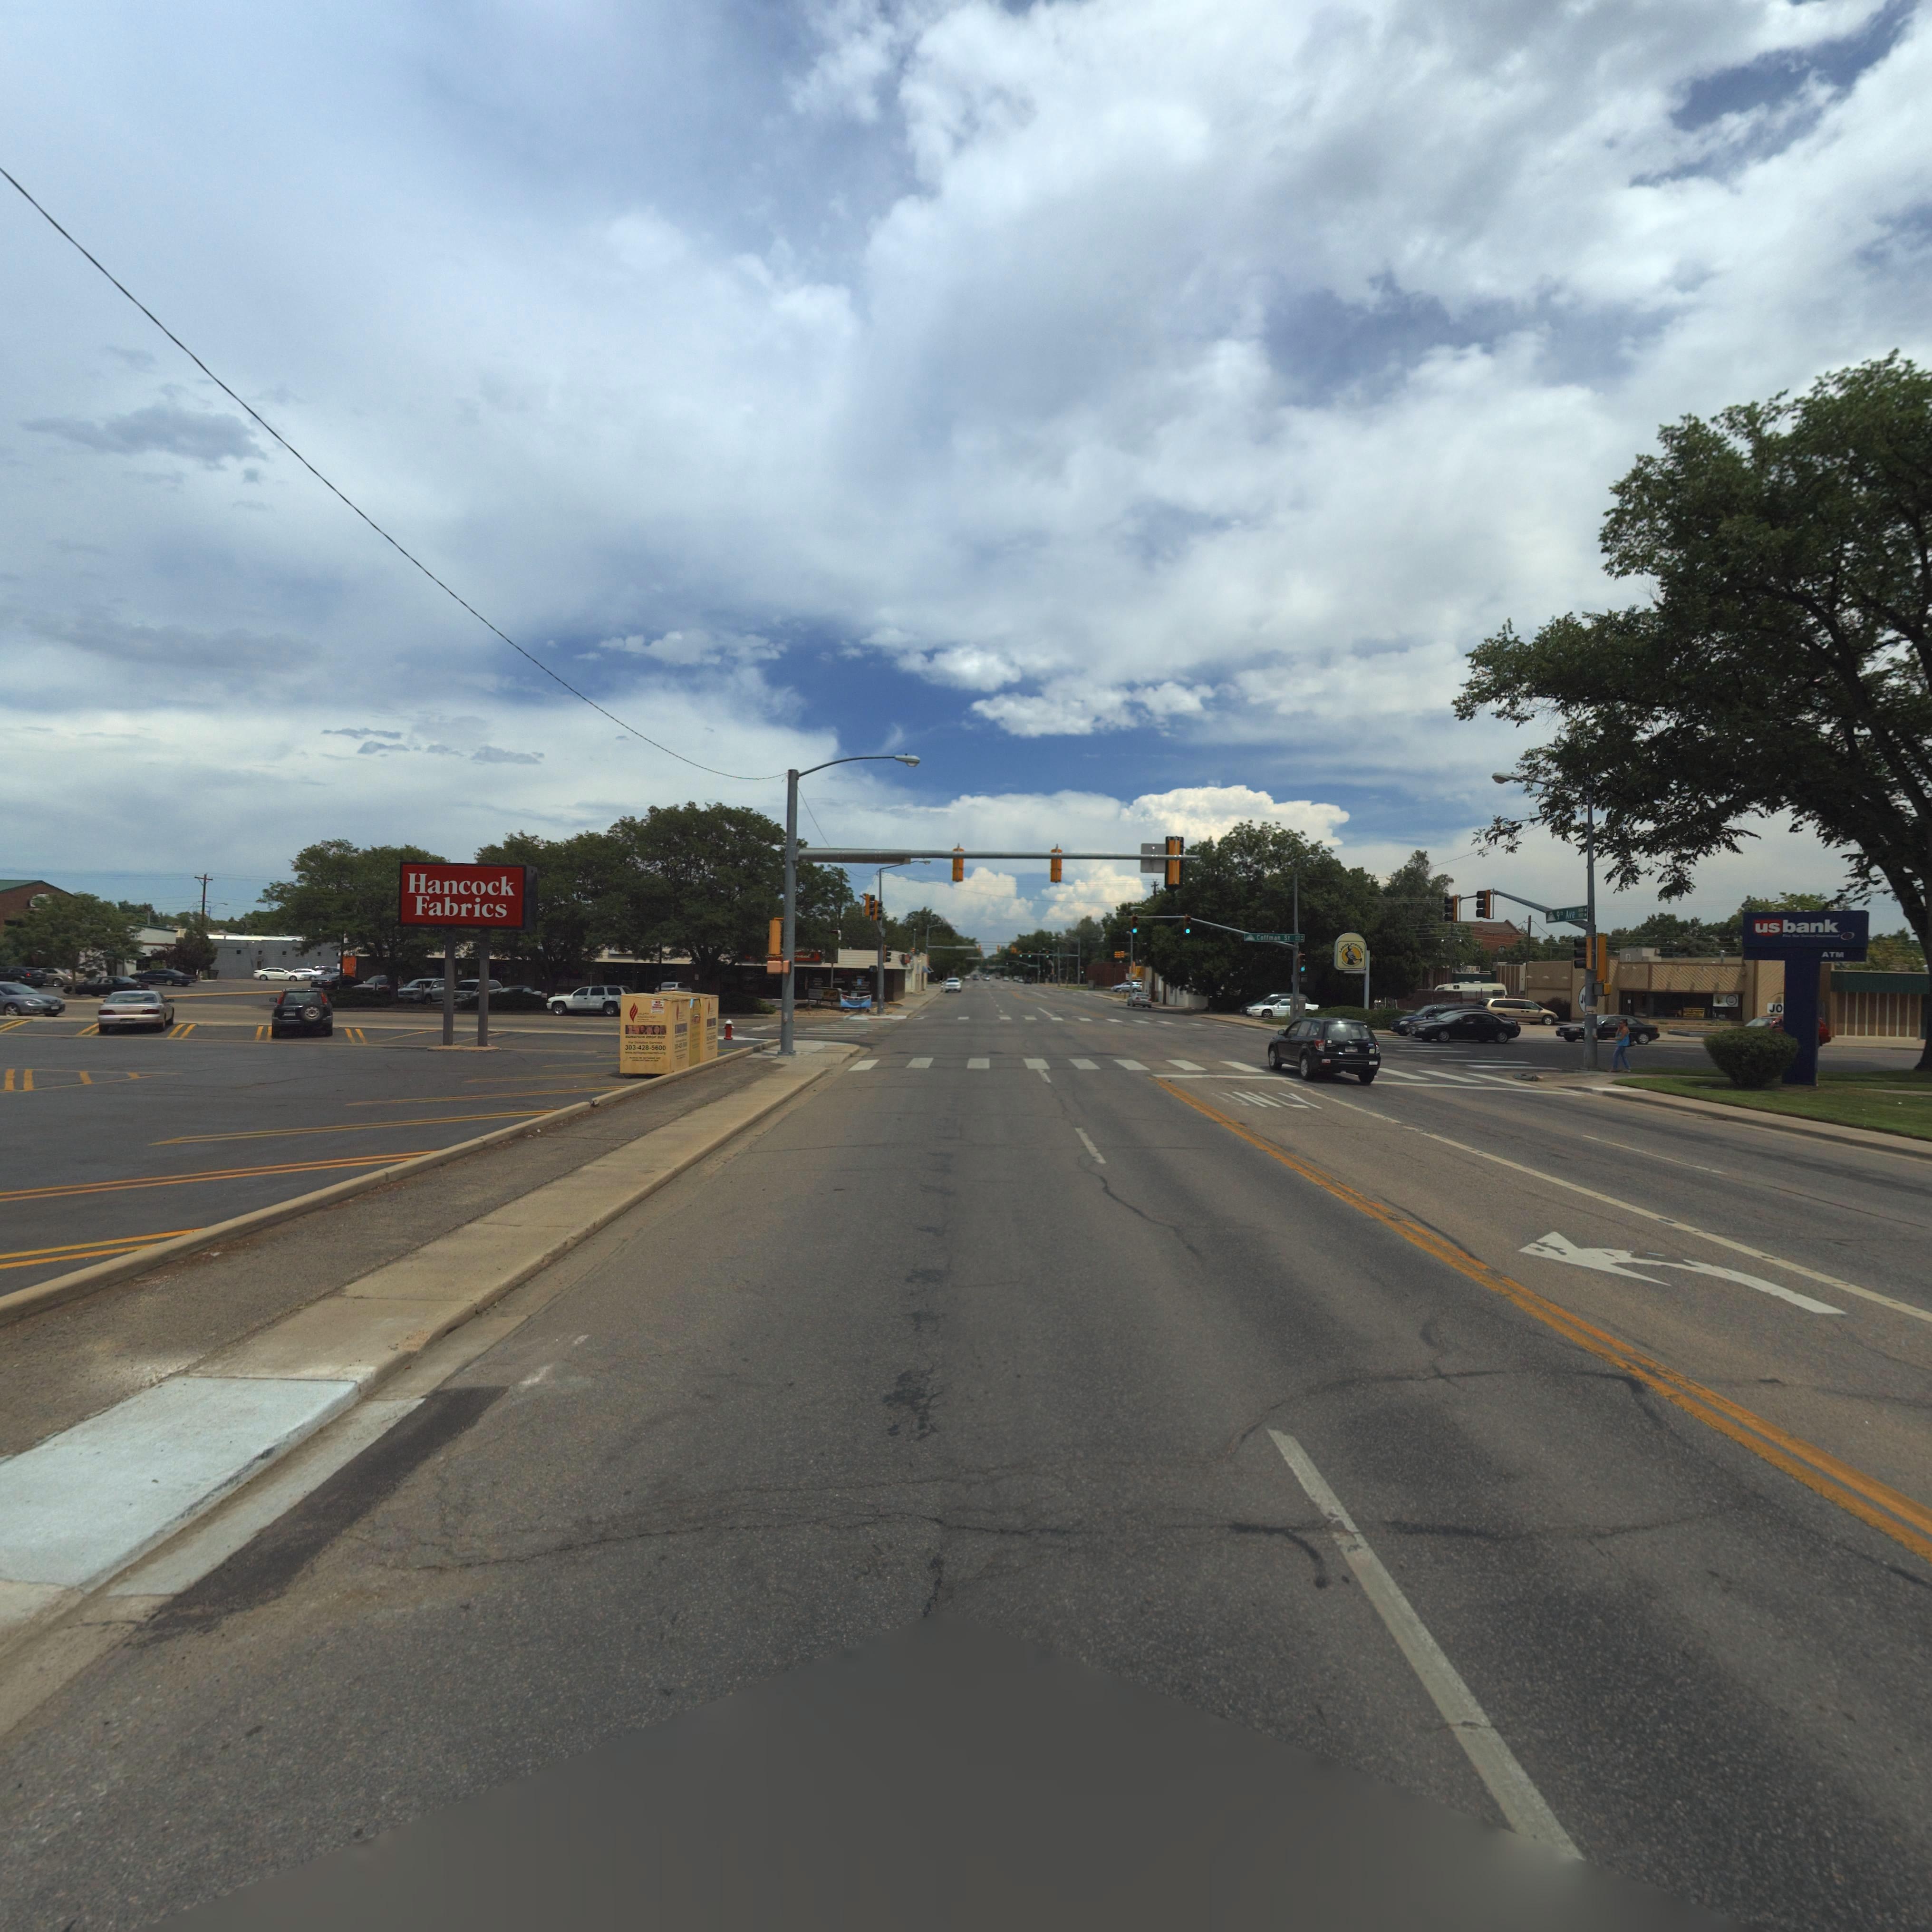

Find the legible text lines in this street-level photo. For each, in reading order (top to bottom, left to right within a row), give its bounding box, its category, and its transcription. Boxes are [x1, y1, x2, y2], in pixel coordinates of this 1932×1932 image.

[406, 872, 515, 897] BusinessName: Hancock
[414, 894, 507, 918] BusinessName: Fabrics
[1556, 909, 1575, 920] StreetName: 9** Ave
[1754, 919, 1839, 933] BusinessName: usbank
[1256, 934, 1291, 941] BusinessName: Coffman St